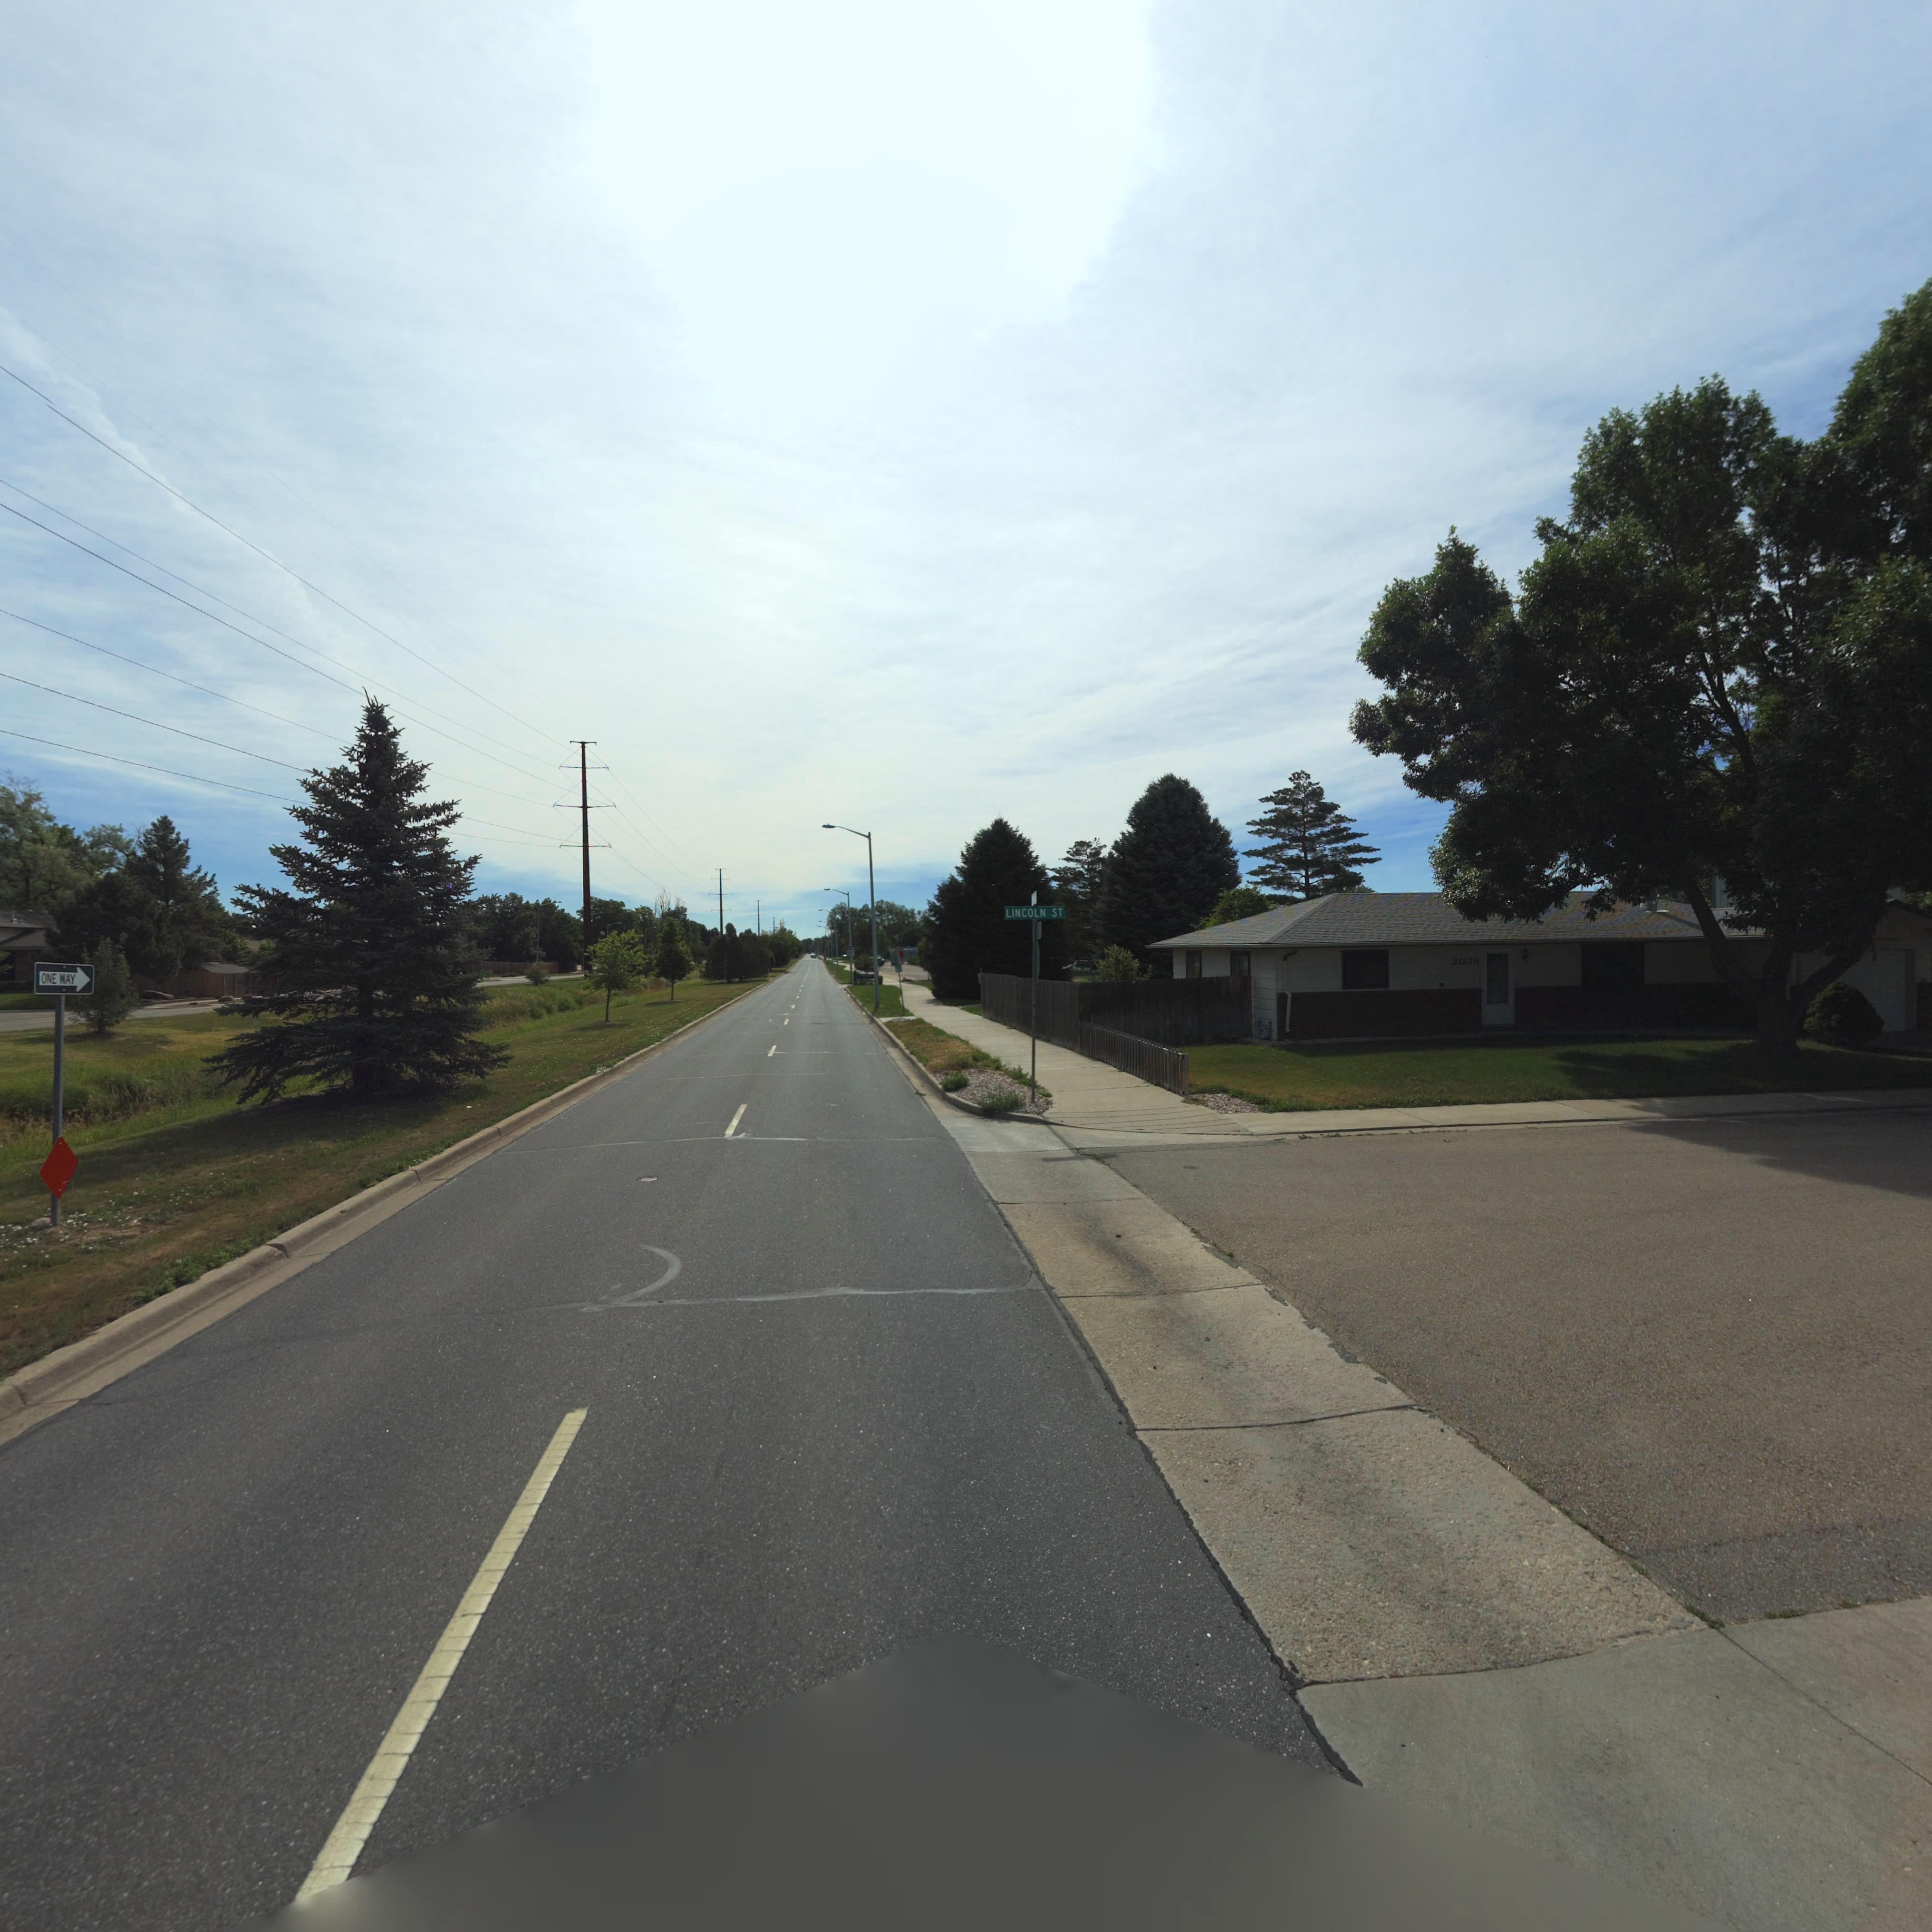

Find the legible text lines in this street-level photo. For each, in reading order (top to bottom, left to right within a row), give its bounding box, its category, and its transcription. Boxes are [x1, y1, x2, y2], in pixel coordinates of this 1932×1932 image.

[1006, 908, 1063, 918] StreetName: LINCOLN ST
[1451, 956, 1479, 965] StreetNumber: 2036